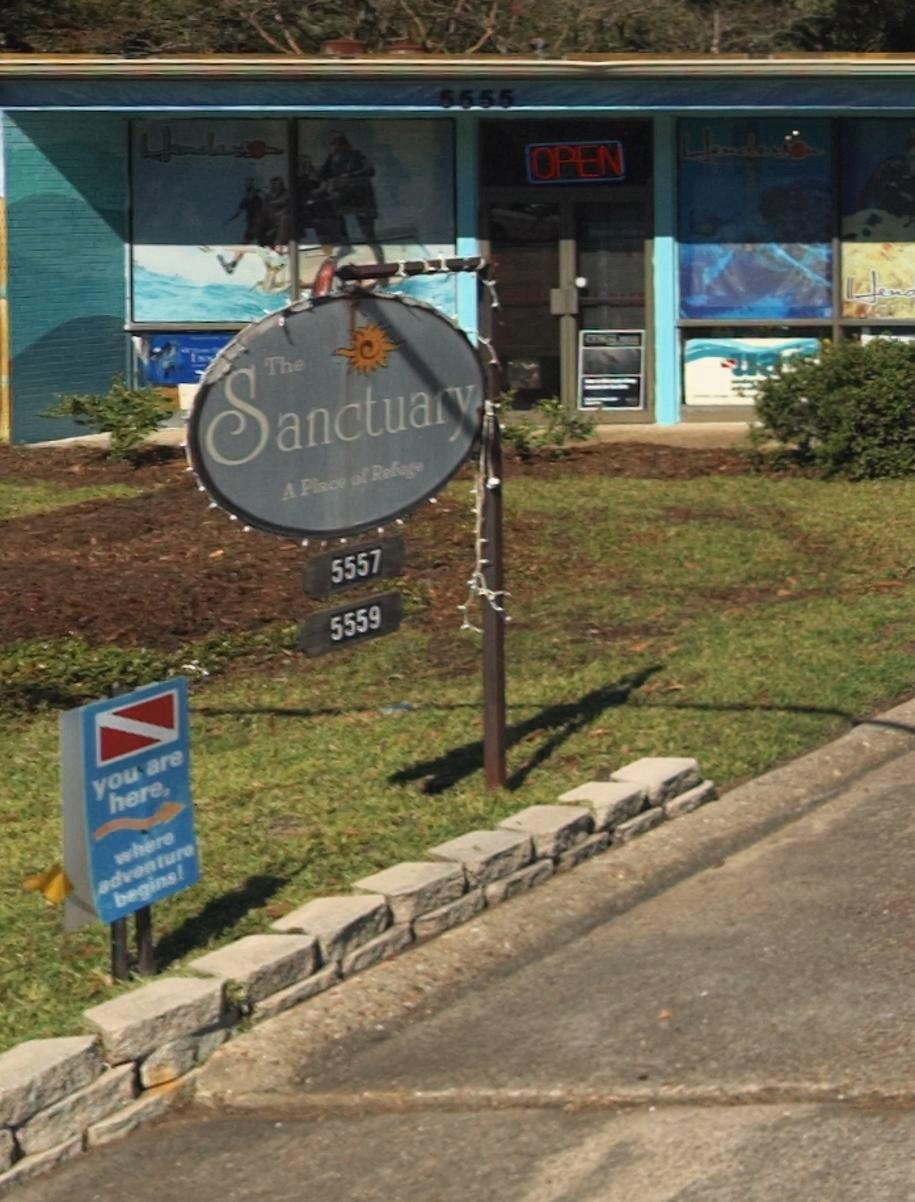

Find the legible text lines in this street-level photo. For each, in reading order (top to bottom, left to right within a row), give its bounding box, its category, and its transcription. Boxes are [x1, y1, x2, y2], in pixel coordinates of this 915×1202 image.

[437, 86, 517, 112] StreetNumber: 5555
[135, 123, 220, 167] BusinessName: H**d
[528, 142, 626, 182] None: OPEN
[678, 122, 761, 167] BusinessName: H**d
[844, 266, 906, 308] BusinessName: Hen
[262, 352, 309, 379] BusinessName: The
[728, 349, 785, 381] None: ua
[202, 362, 478, 470] BusinessName: Sanctuary
[278, 456, 428, 506] None: A Place of Refuge
[329, 547, 385, 588] StreetNumber: 5557
[327, 600, 384, 645] None: 5559
[88, 746, 186, 805] None: you are
[105, 776, 173, 819] None: here,
[105, 826, 180, 870] None: where
[93, 839, 200, 901] None: adventure
[108, 860, 188, 915] None: begins!